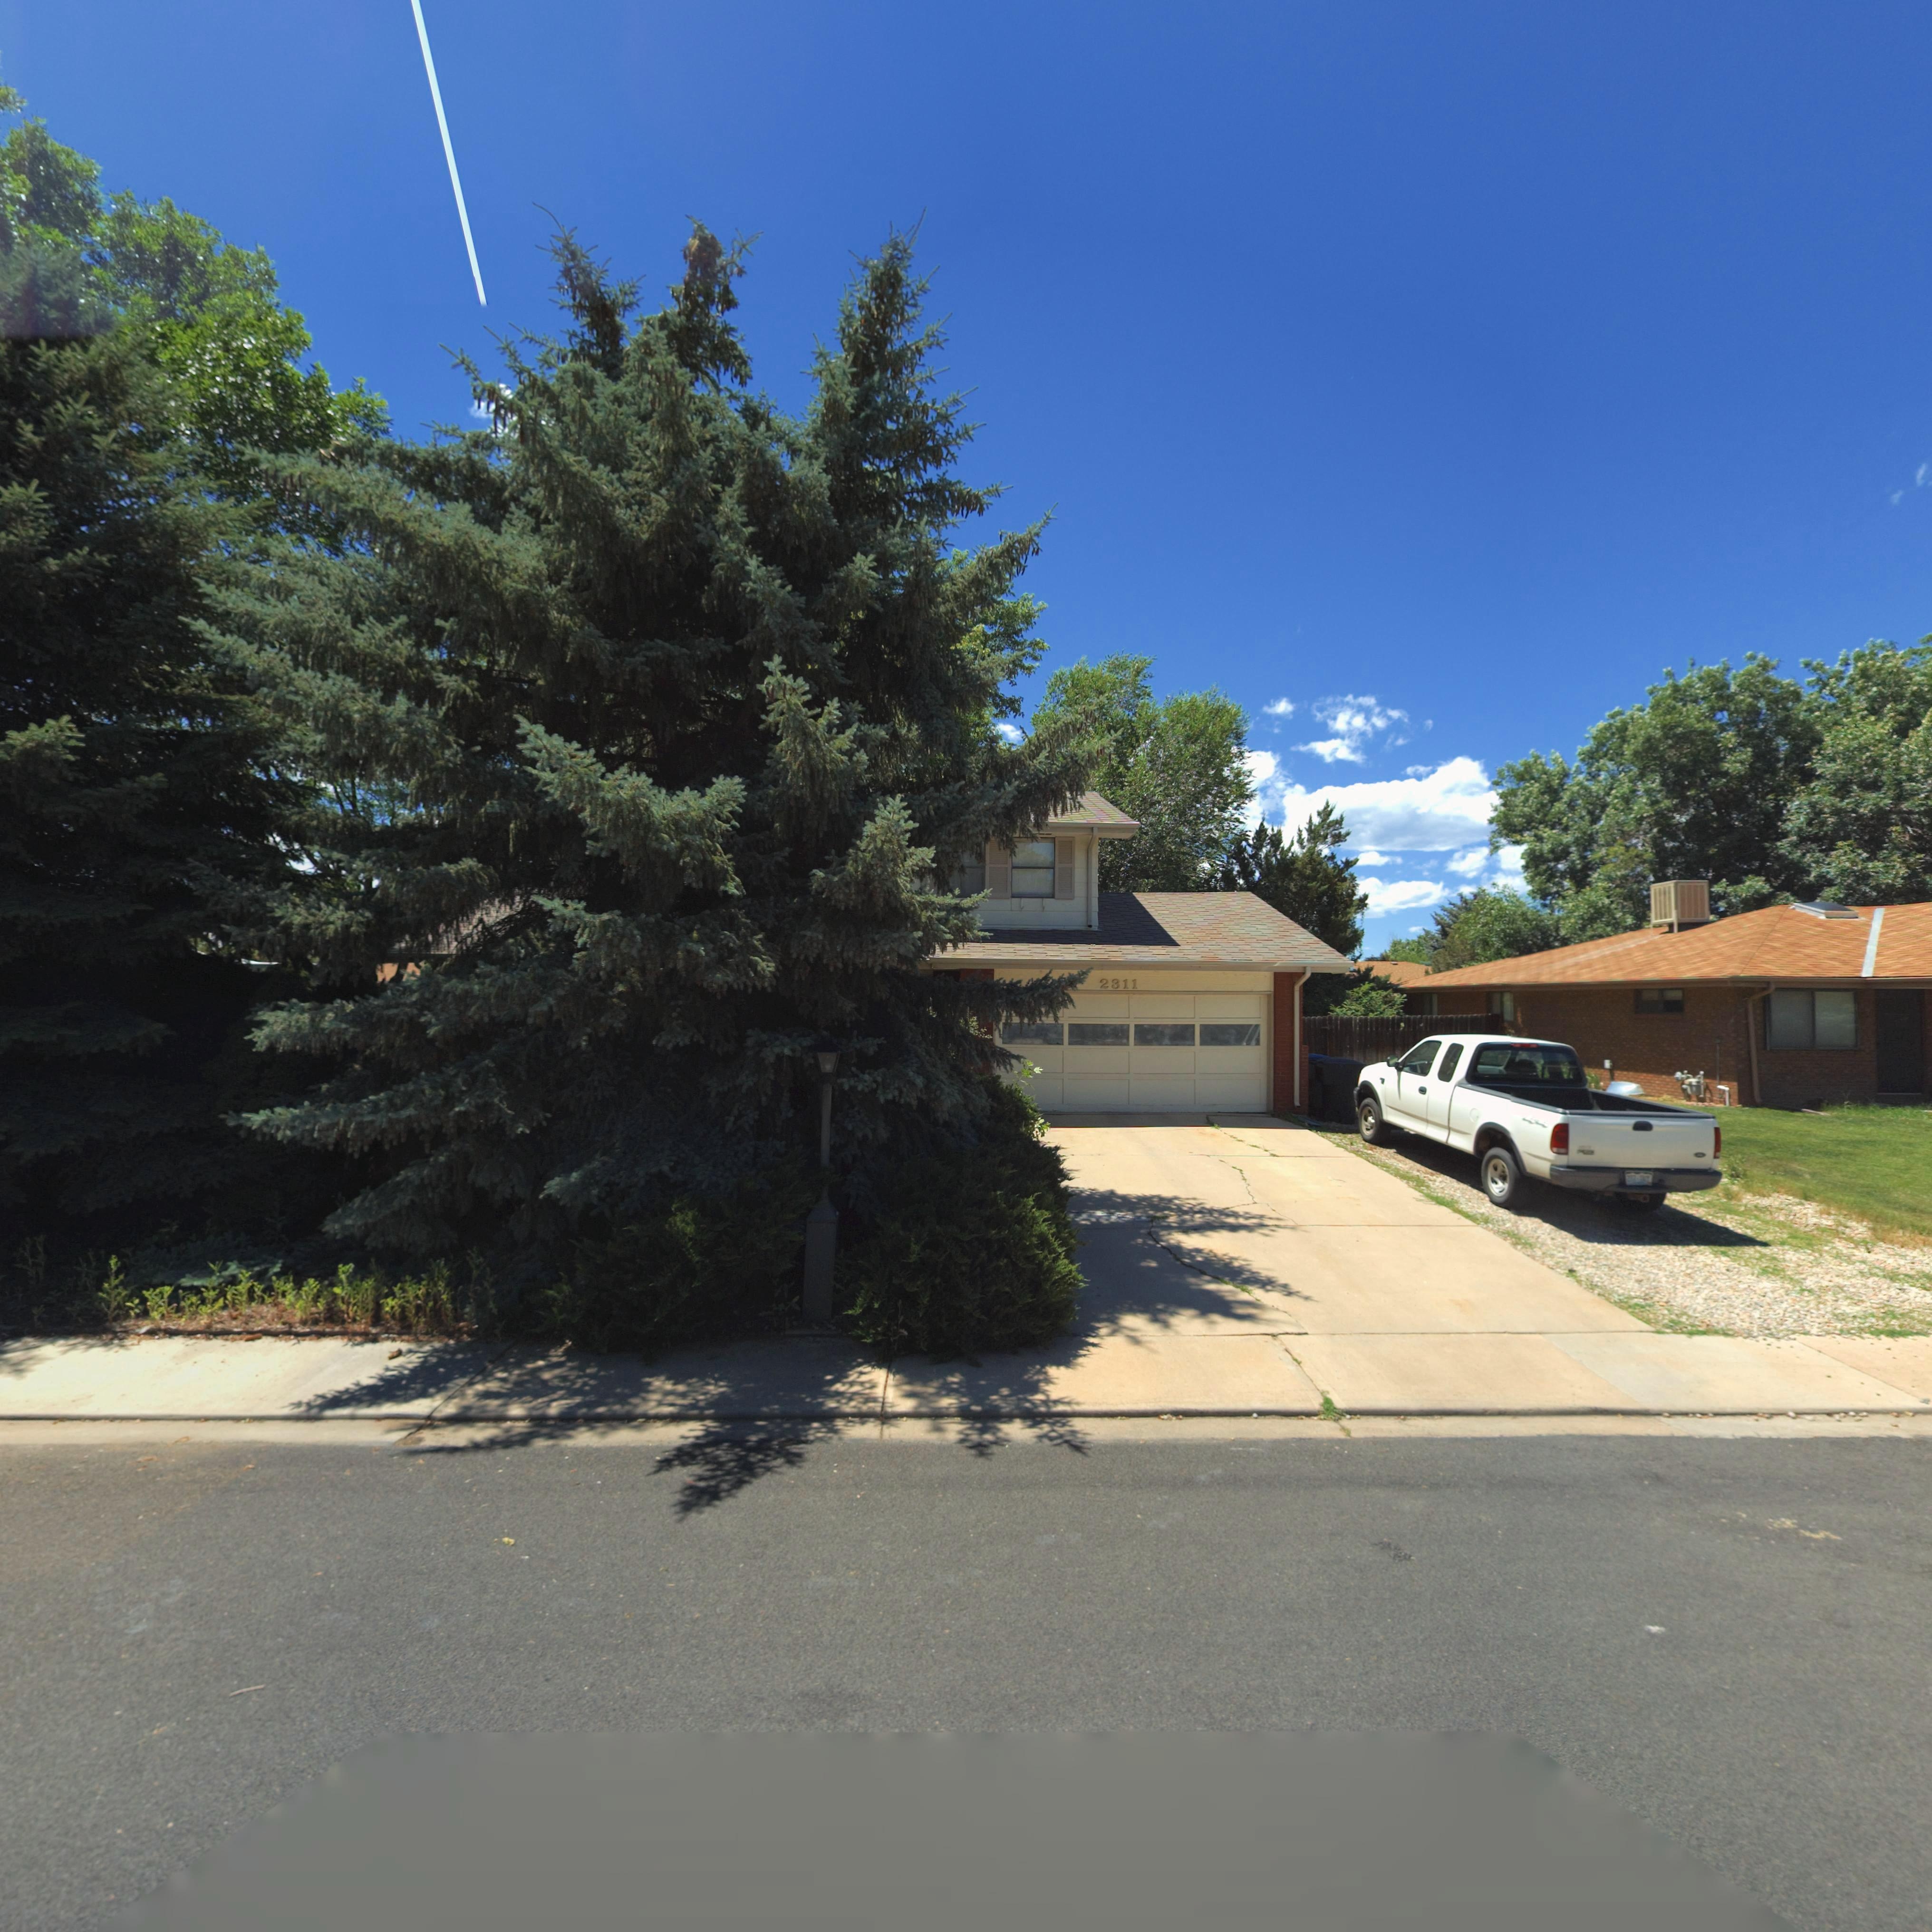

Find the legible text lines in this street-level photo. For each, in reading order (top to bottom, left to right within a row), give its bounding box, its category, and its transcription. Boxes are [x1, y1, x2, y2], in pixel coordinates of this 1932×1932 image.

[1100, 978, 1137, 989] StreetNumber: 2311